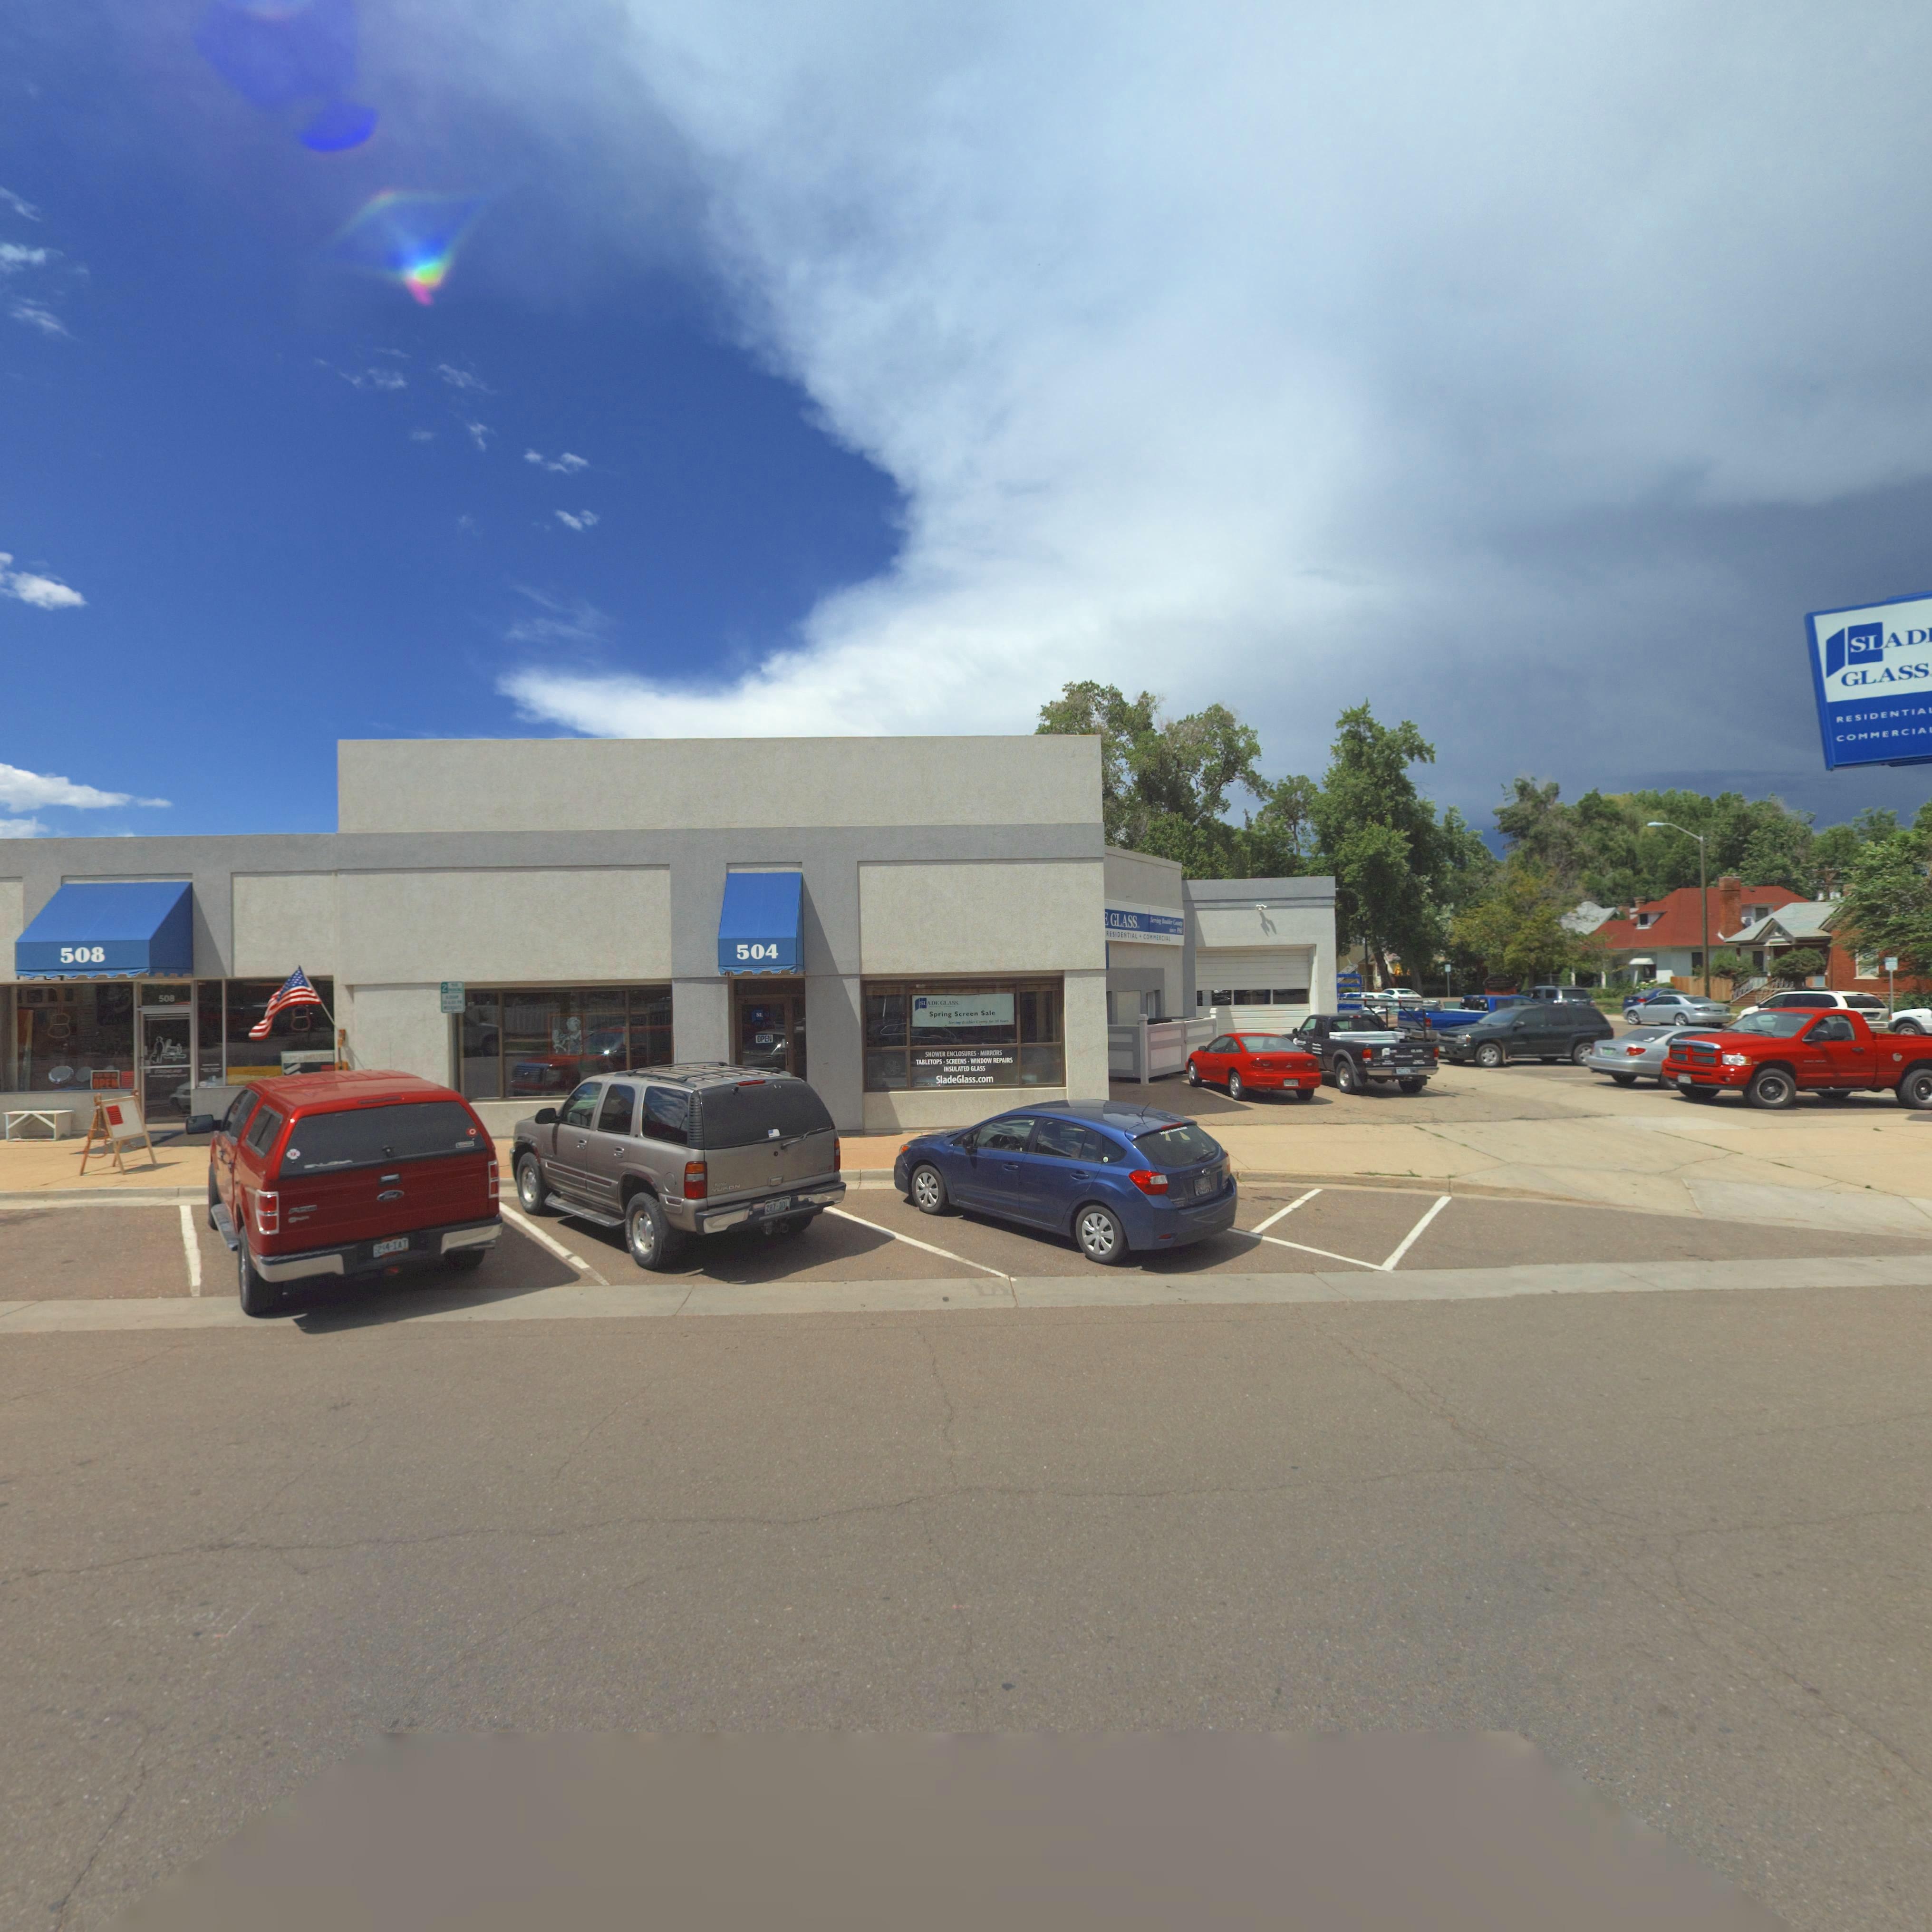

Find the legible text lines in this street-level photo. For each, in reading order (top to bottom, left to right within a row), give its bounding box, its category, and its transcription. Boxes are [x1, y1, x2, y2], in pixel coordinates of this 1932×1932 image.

[1849, 628, 1928, 653] BusinessName: SLAD
[1840, 661, 1929, 687] BusinessName: GLASS
[1110, 912, 1138, 929] BusinessName: GLASS
[59, 946, 106, 964] StreetNumber: 508
[736, 944, 779, 960] StreetNumber: 504
[158, 994, 175, 1002] StreetNumber: 508
[919, 1000, 958, 1005] BusinessName: SLADE GLASS
[756, 1012, 763, 1017] BusinessName: SL